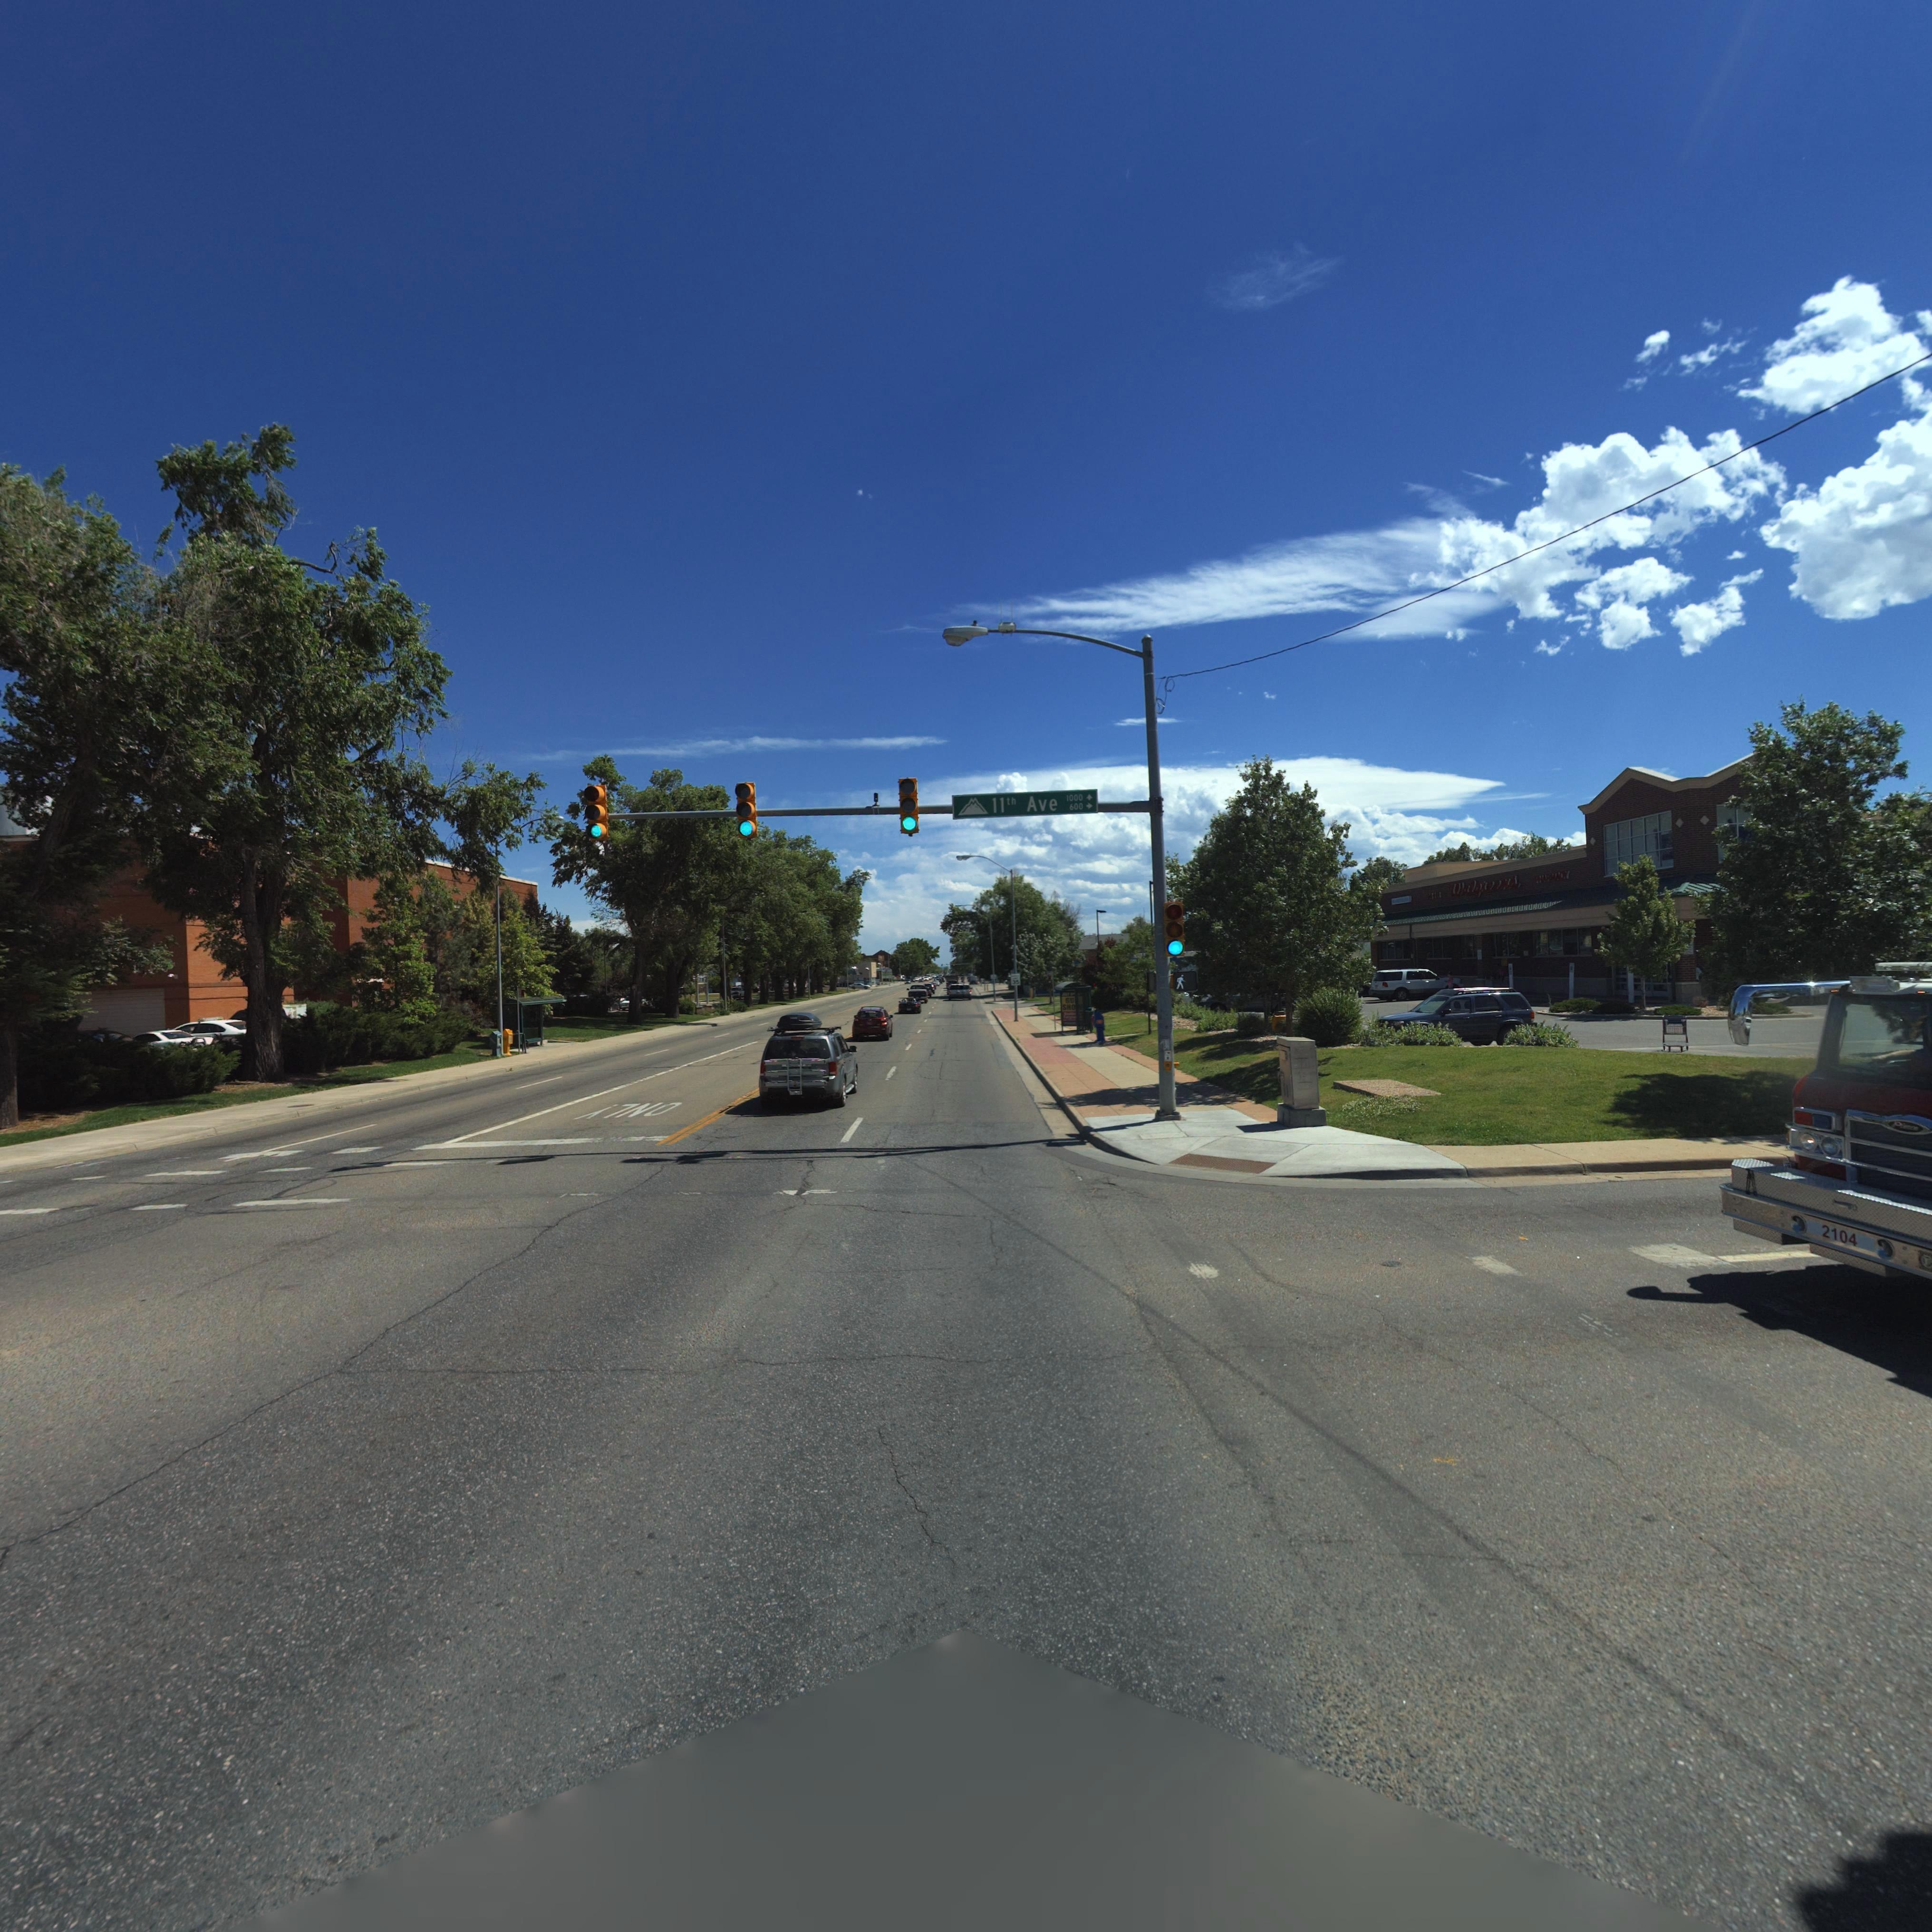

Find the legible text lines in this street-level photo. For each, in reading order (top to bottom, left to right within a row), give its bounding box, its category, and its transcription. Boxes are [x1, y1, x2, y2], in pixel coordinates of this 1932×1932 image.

[992, 795, 1058, 813] StreetName: 11th Ave
[1066, 793, 1083, 802] StreetNumberRange: 1000
[1069, 802, 1093, 810] StreetNumberRange: 600 ->
[1449, 875, 1521, 898] BusinessName: Walgreens